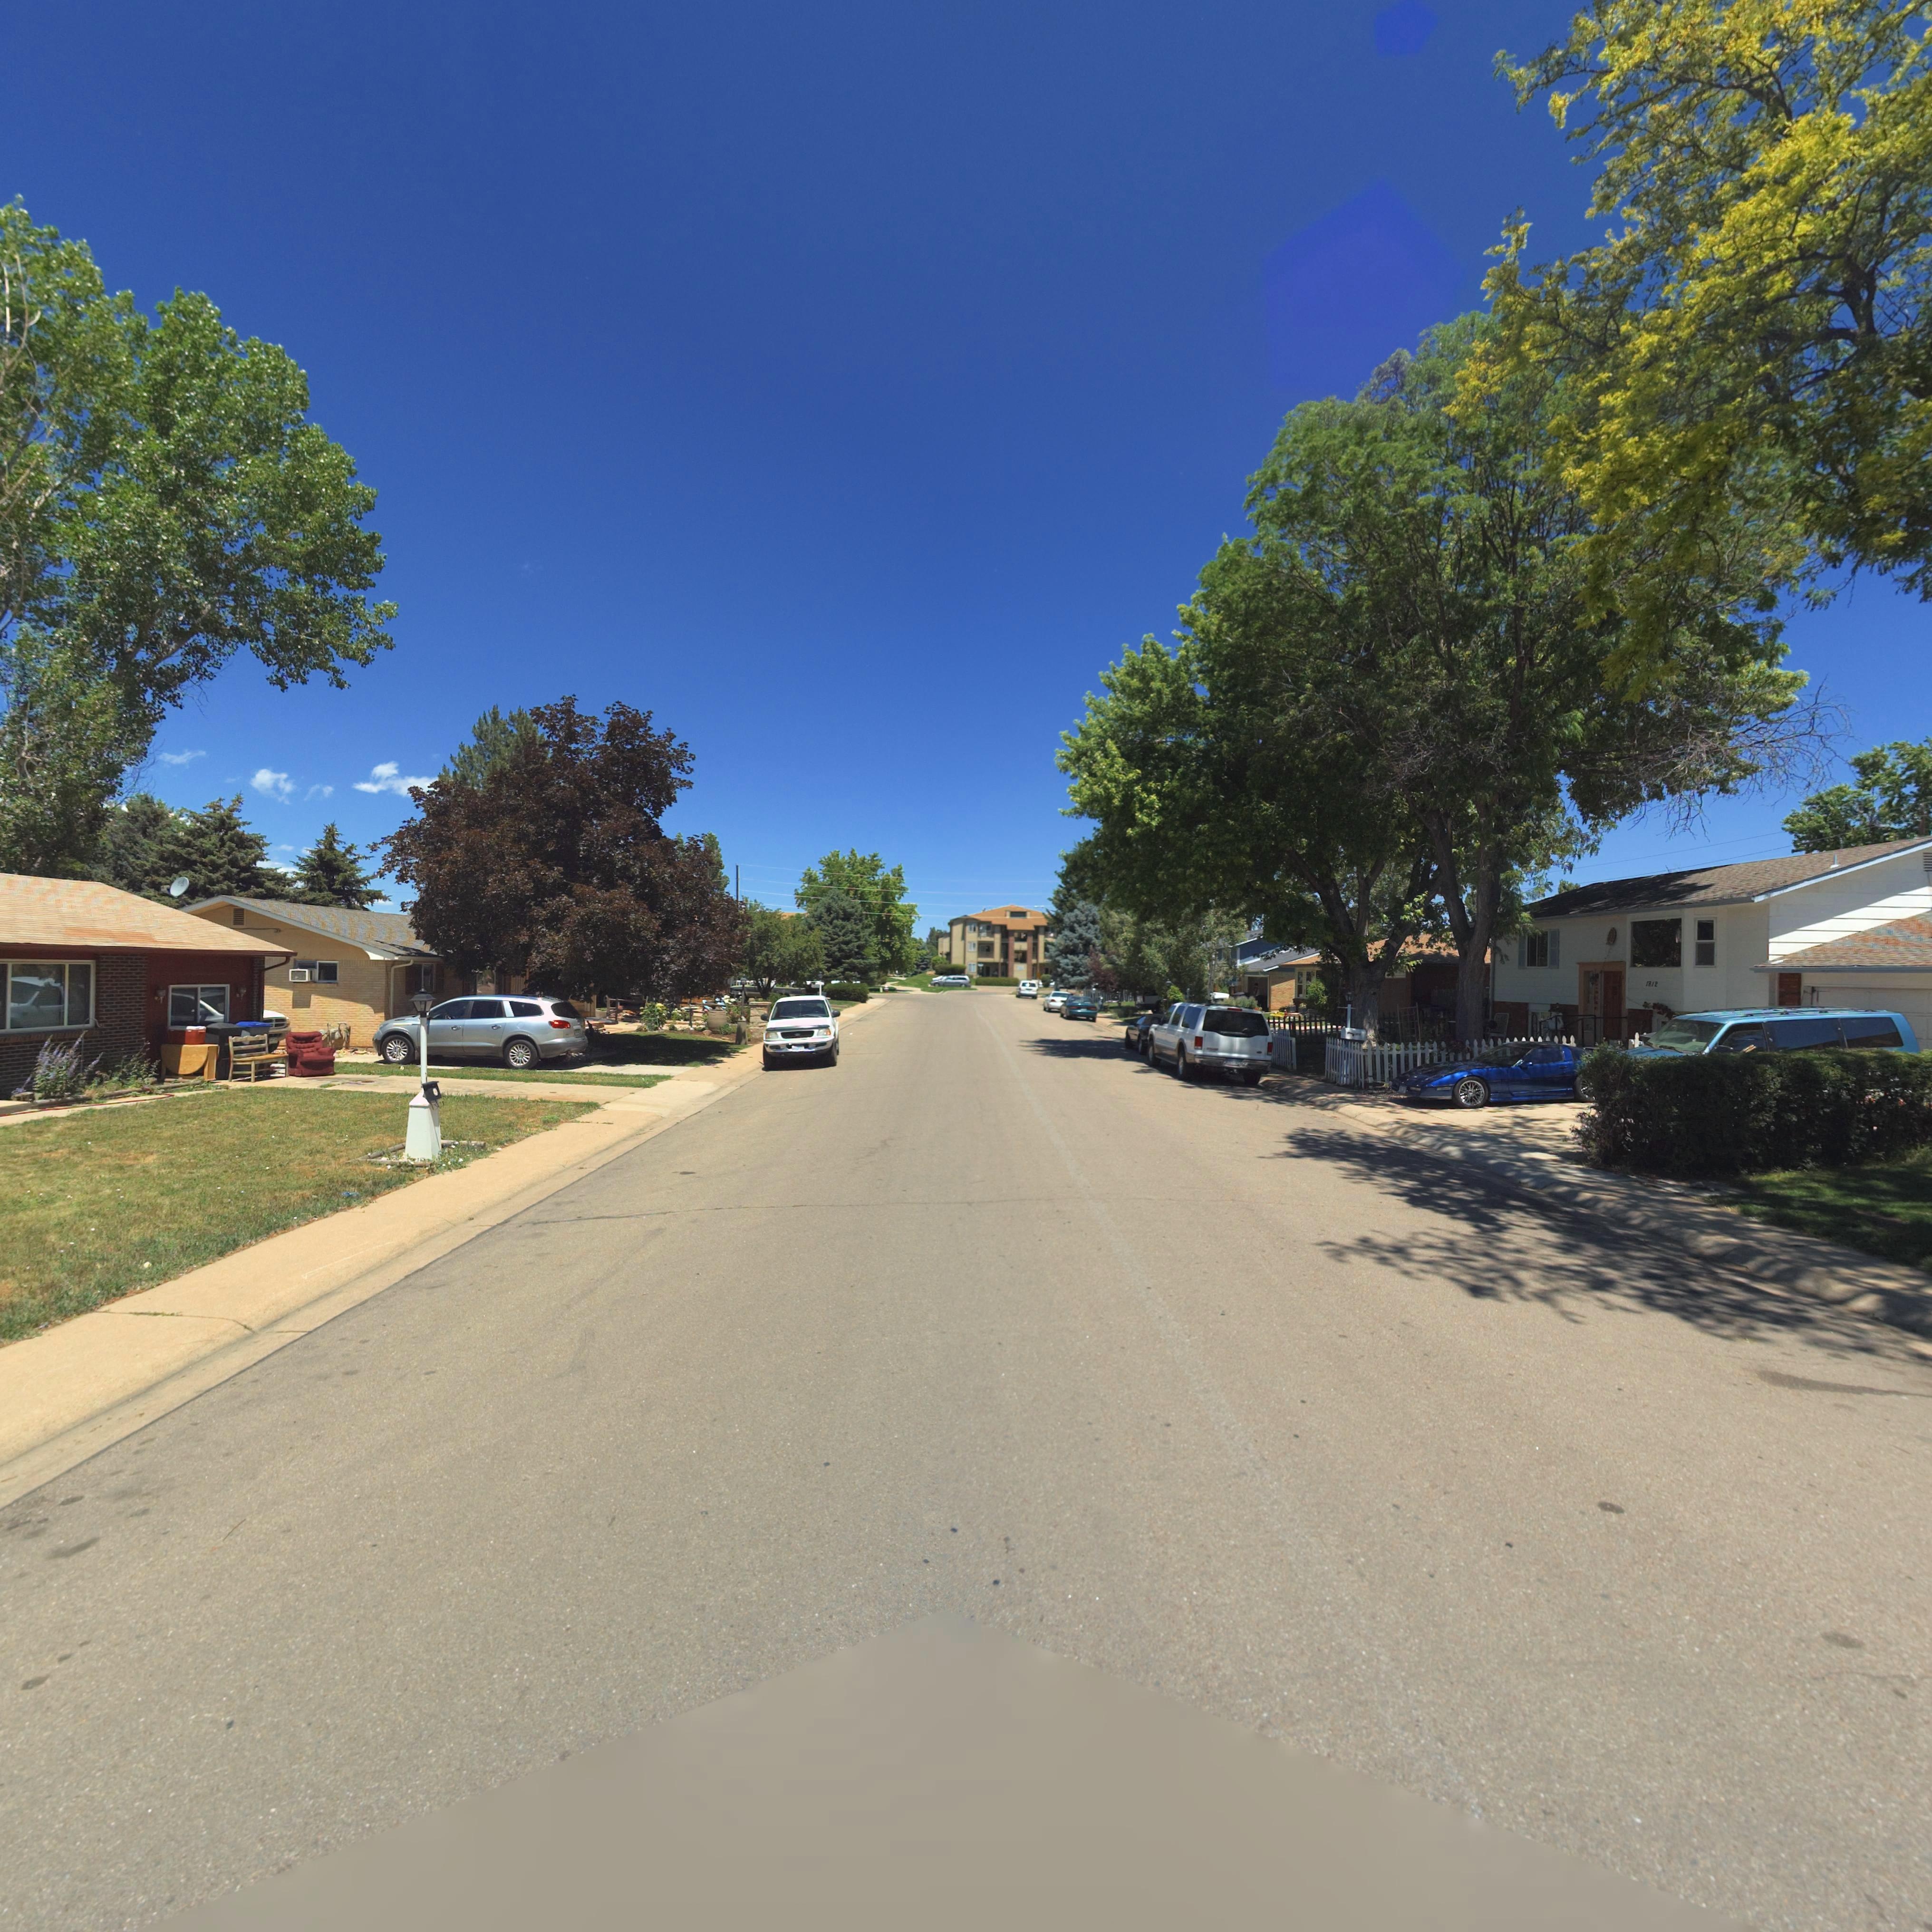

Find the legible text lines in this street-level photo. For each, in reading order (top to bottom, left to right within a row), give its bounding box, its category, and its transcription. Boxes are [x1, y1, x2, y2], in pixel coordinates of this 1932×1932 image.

[1645, 981, 1658, 986] StreetNumber: 1812